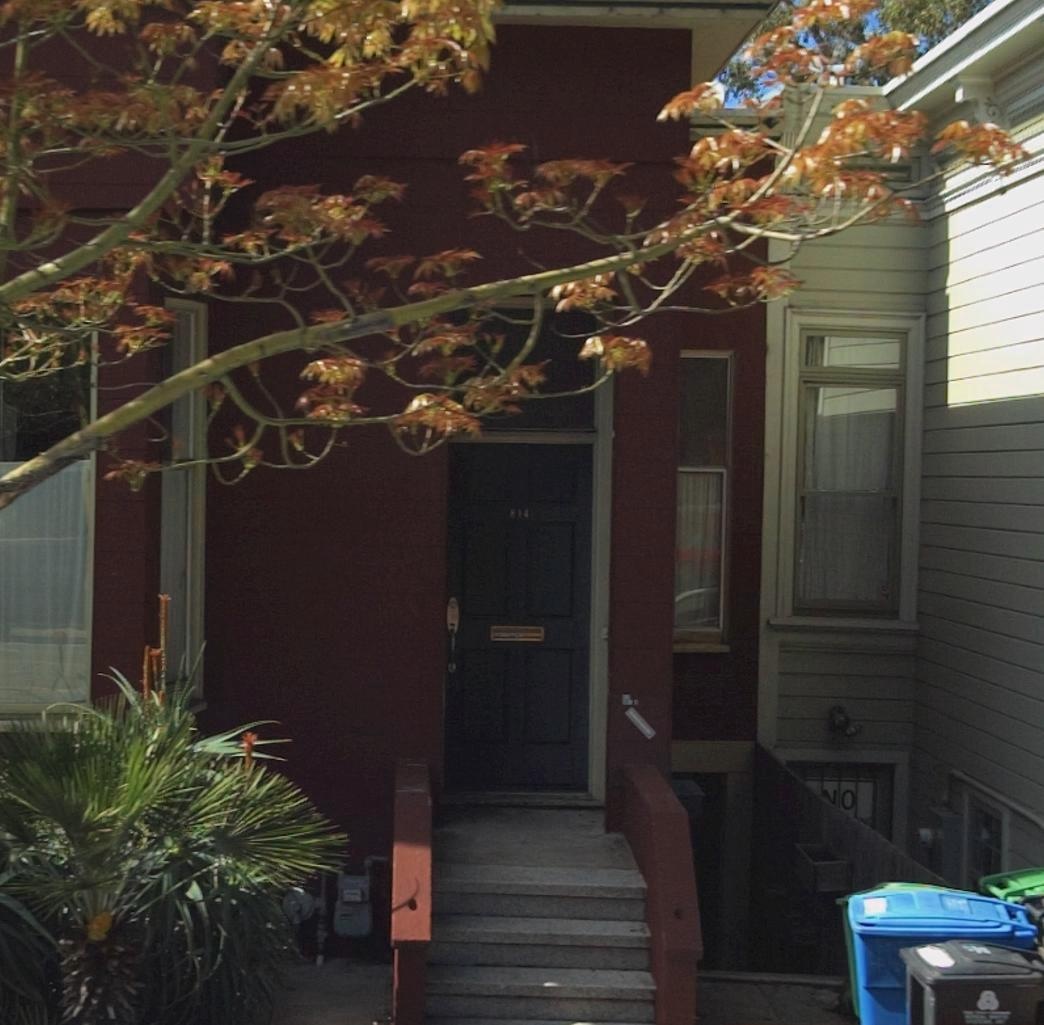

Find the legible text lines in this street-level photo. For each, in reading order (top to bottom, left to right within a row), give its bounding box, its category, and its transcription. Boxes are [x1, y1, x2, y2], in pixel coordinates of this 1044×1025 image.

[509, 506, 530, 520] StreetNumber: 814
[840, 788, 855, 810] None: O